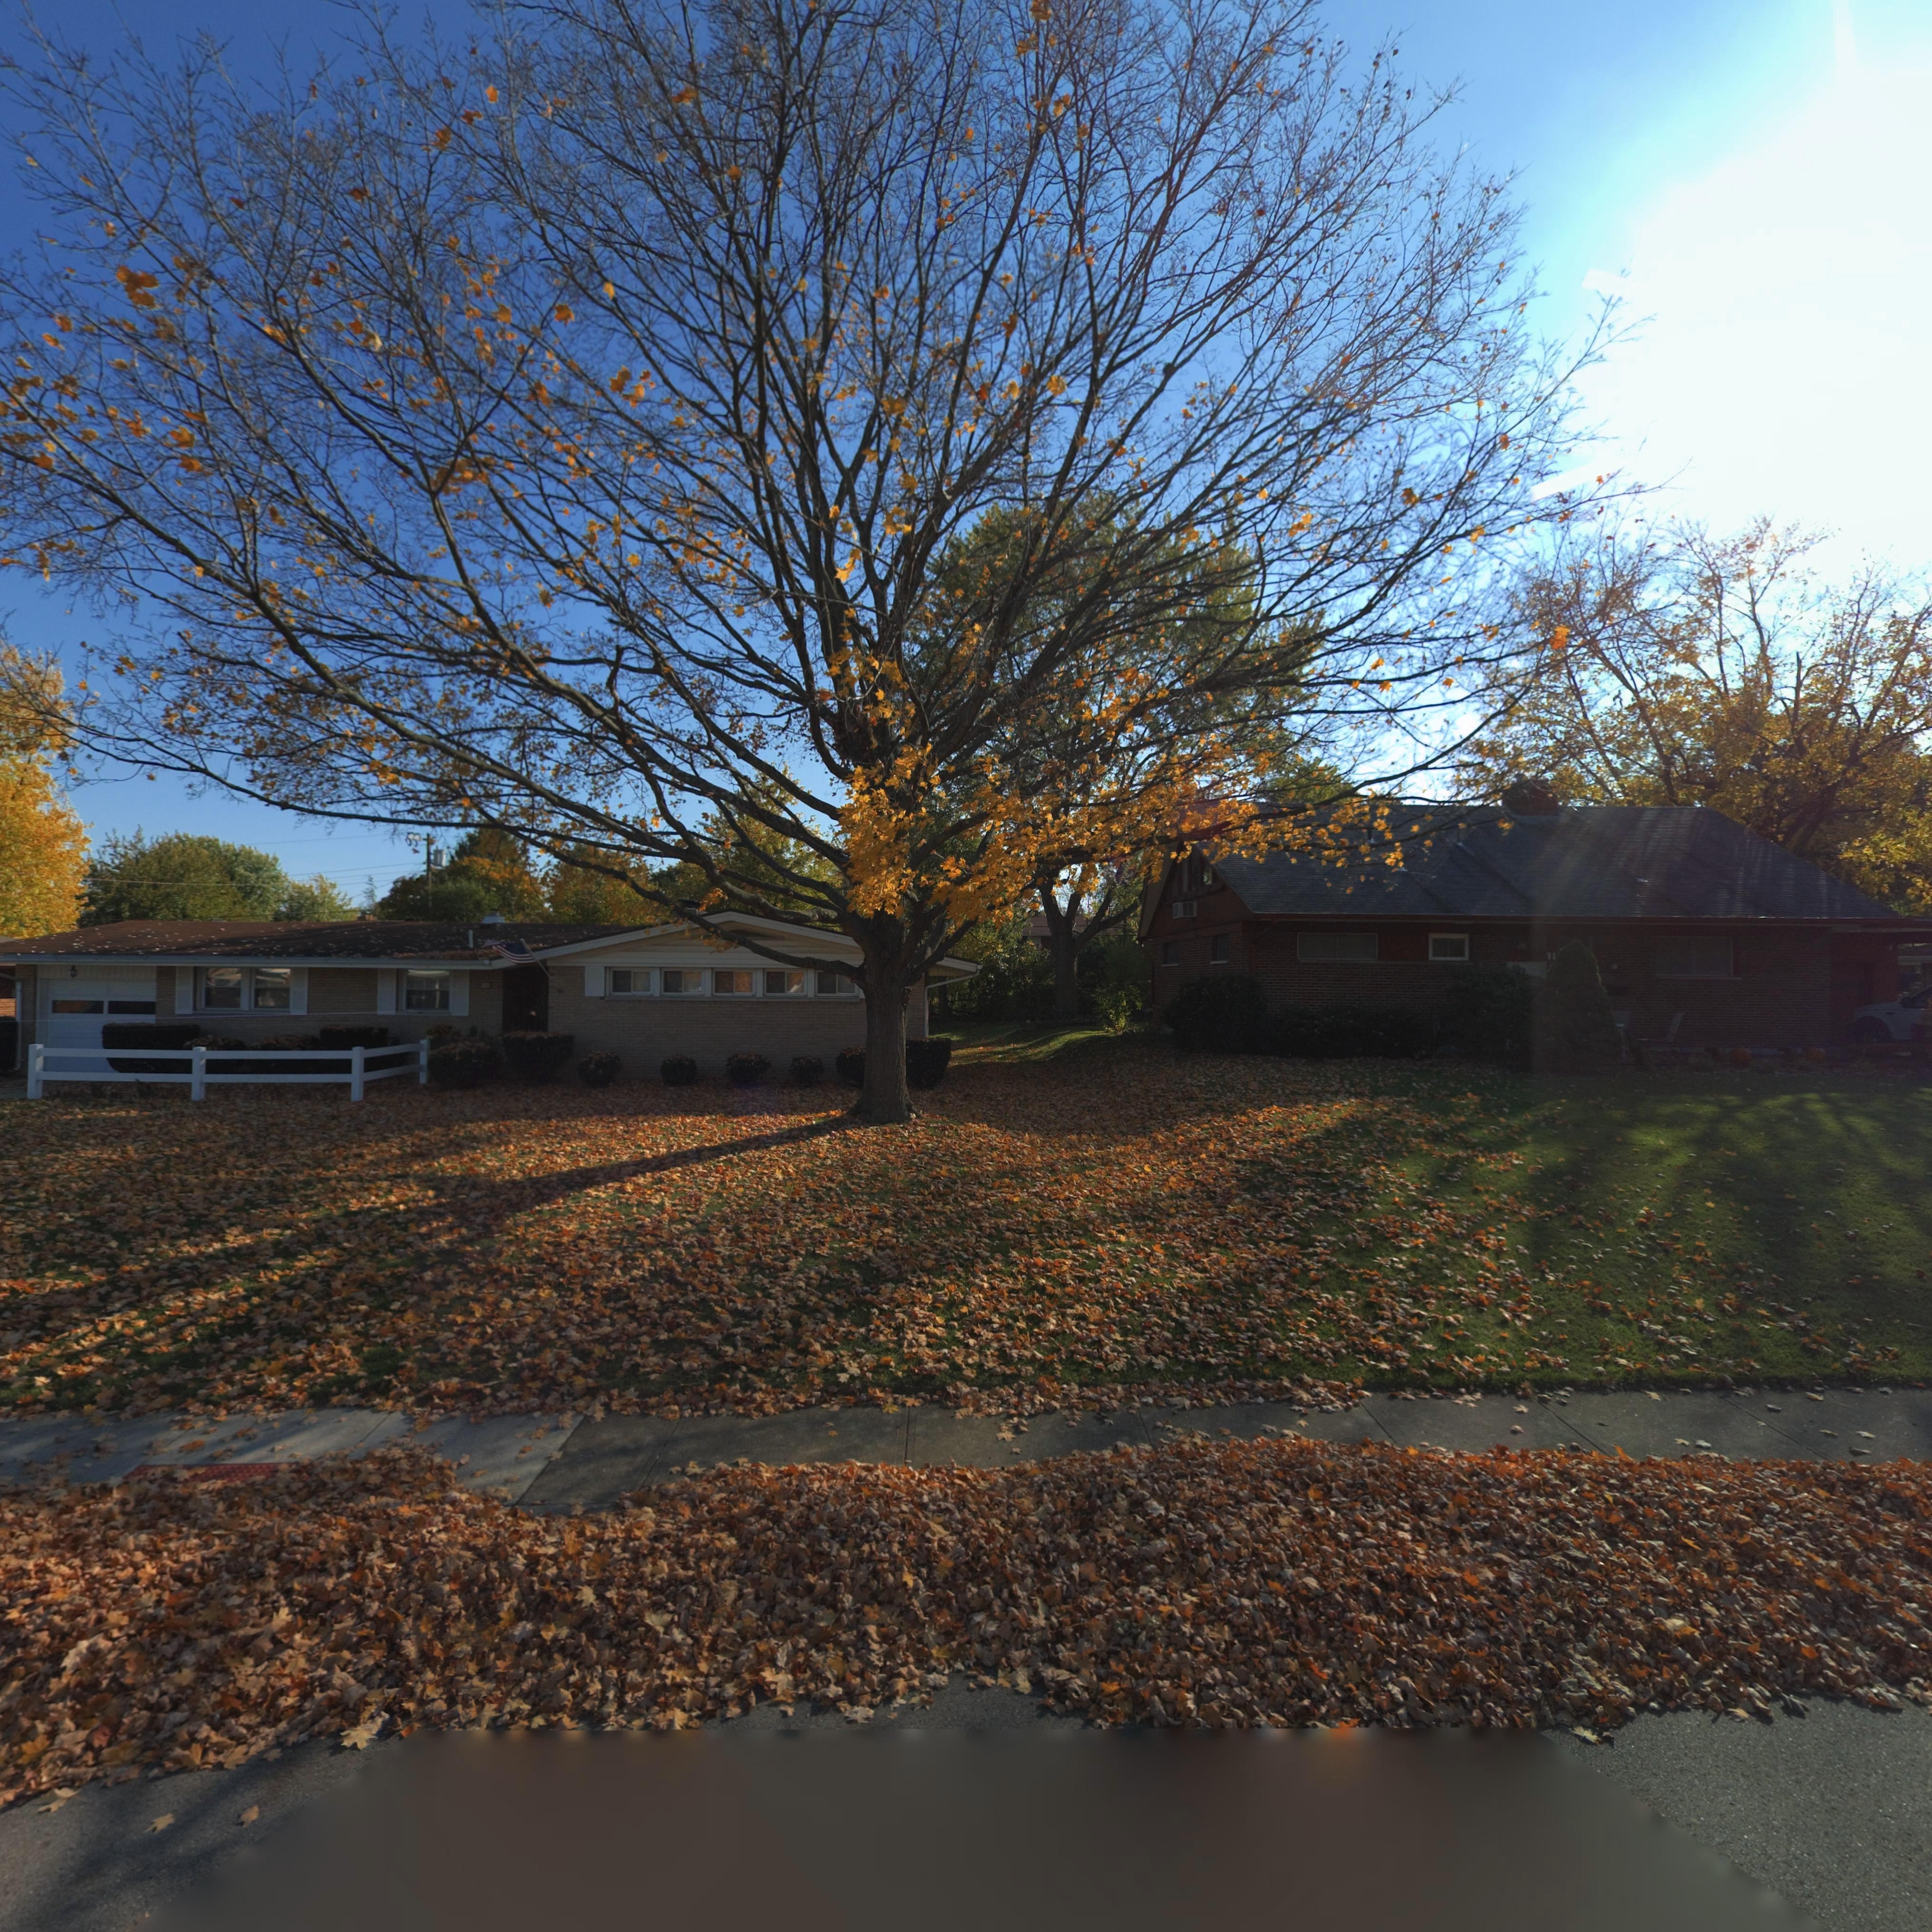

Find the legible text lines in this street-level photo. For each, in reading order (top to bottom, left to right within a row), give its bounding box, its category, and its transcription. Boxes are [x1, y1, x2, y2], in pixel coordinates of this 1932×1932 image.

[1546, 952, 1556, 961] StreetNumber: 71